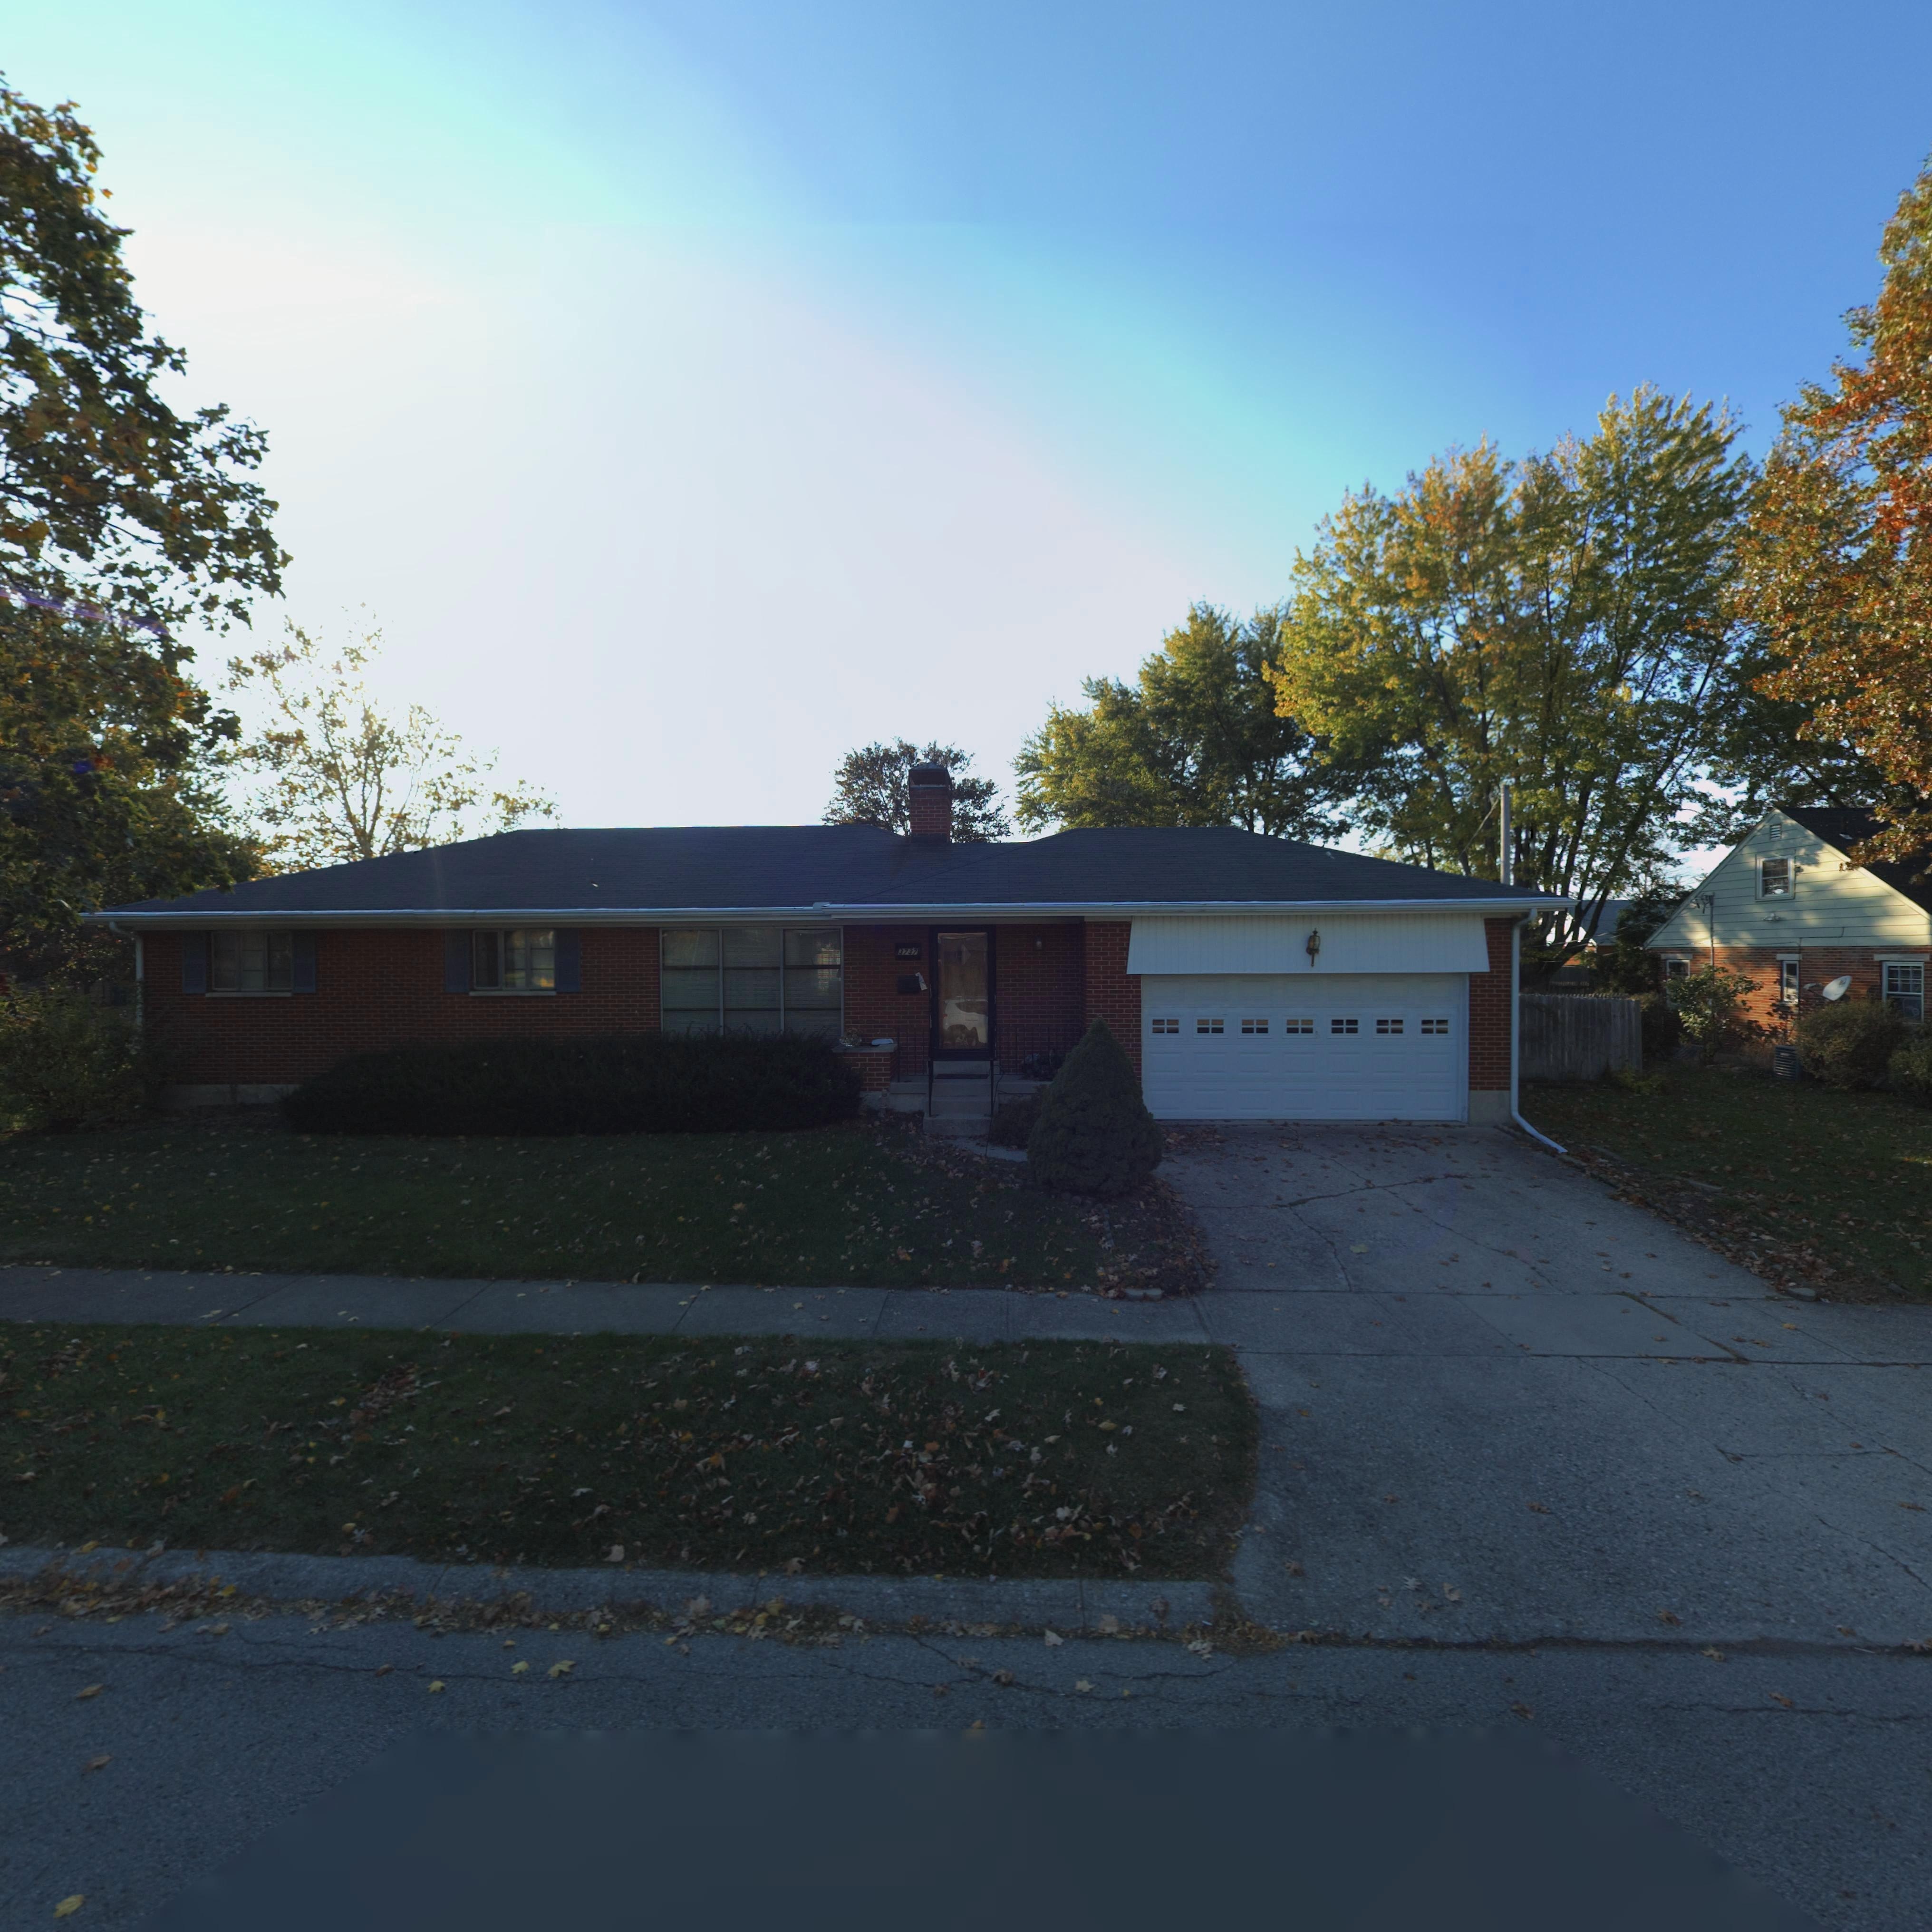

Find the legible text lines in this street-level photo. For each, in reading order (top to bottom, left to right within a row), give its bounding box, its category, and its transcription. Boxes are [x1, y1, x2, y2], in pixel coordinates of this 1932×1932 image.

[898, 948, 918, 955] StreetNumber: 3737